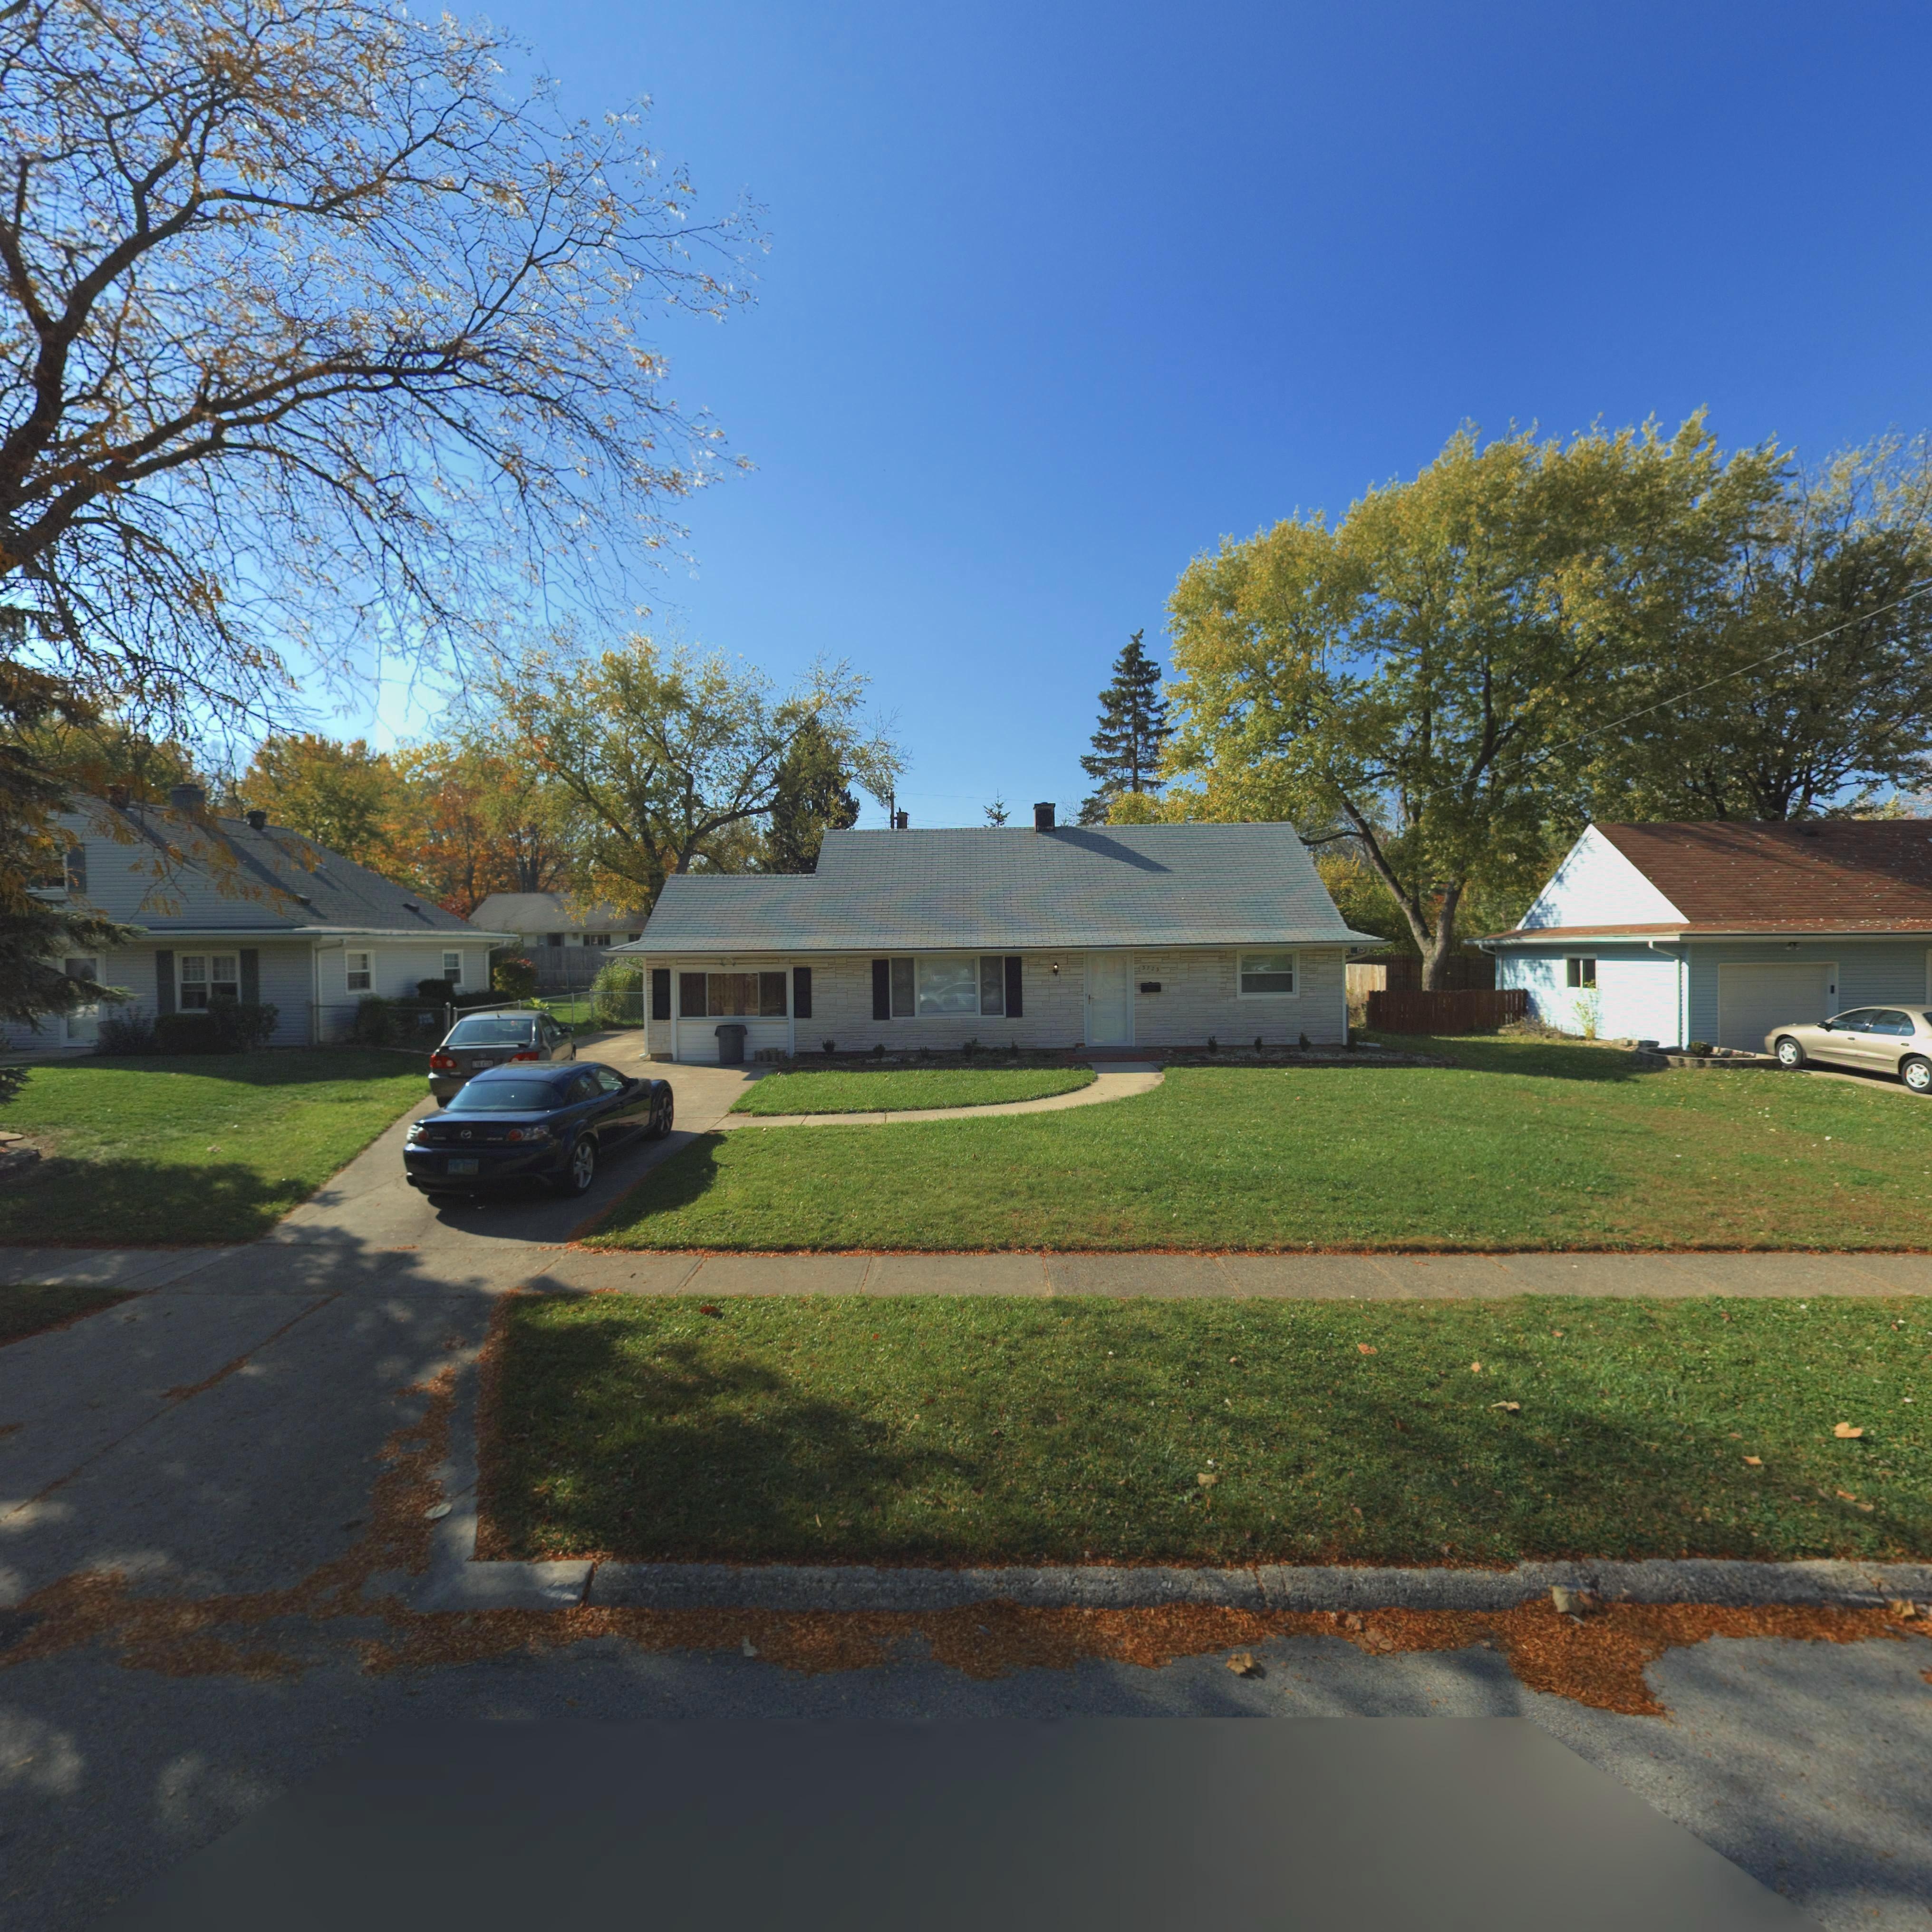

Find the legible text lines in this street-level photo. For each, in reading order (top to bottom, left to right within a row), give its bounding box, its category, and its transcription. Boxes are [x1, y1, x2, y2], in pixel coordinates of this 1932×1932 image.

[1141, 965, 1160, 973] StreetNumber: 372*
[482, 1061, 493, 1067] None: 472*